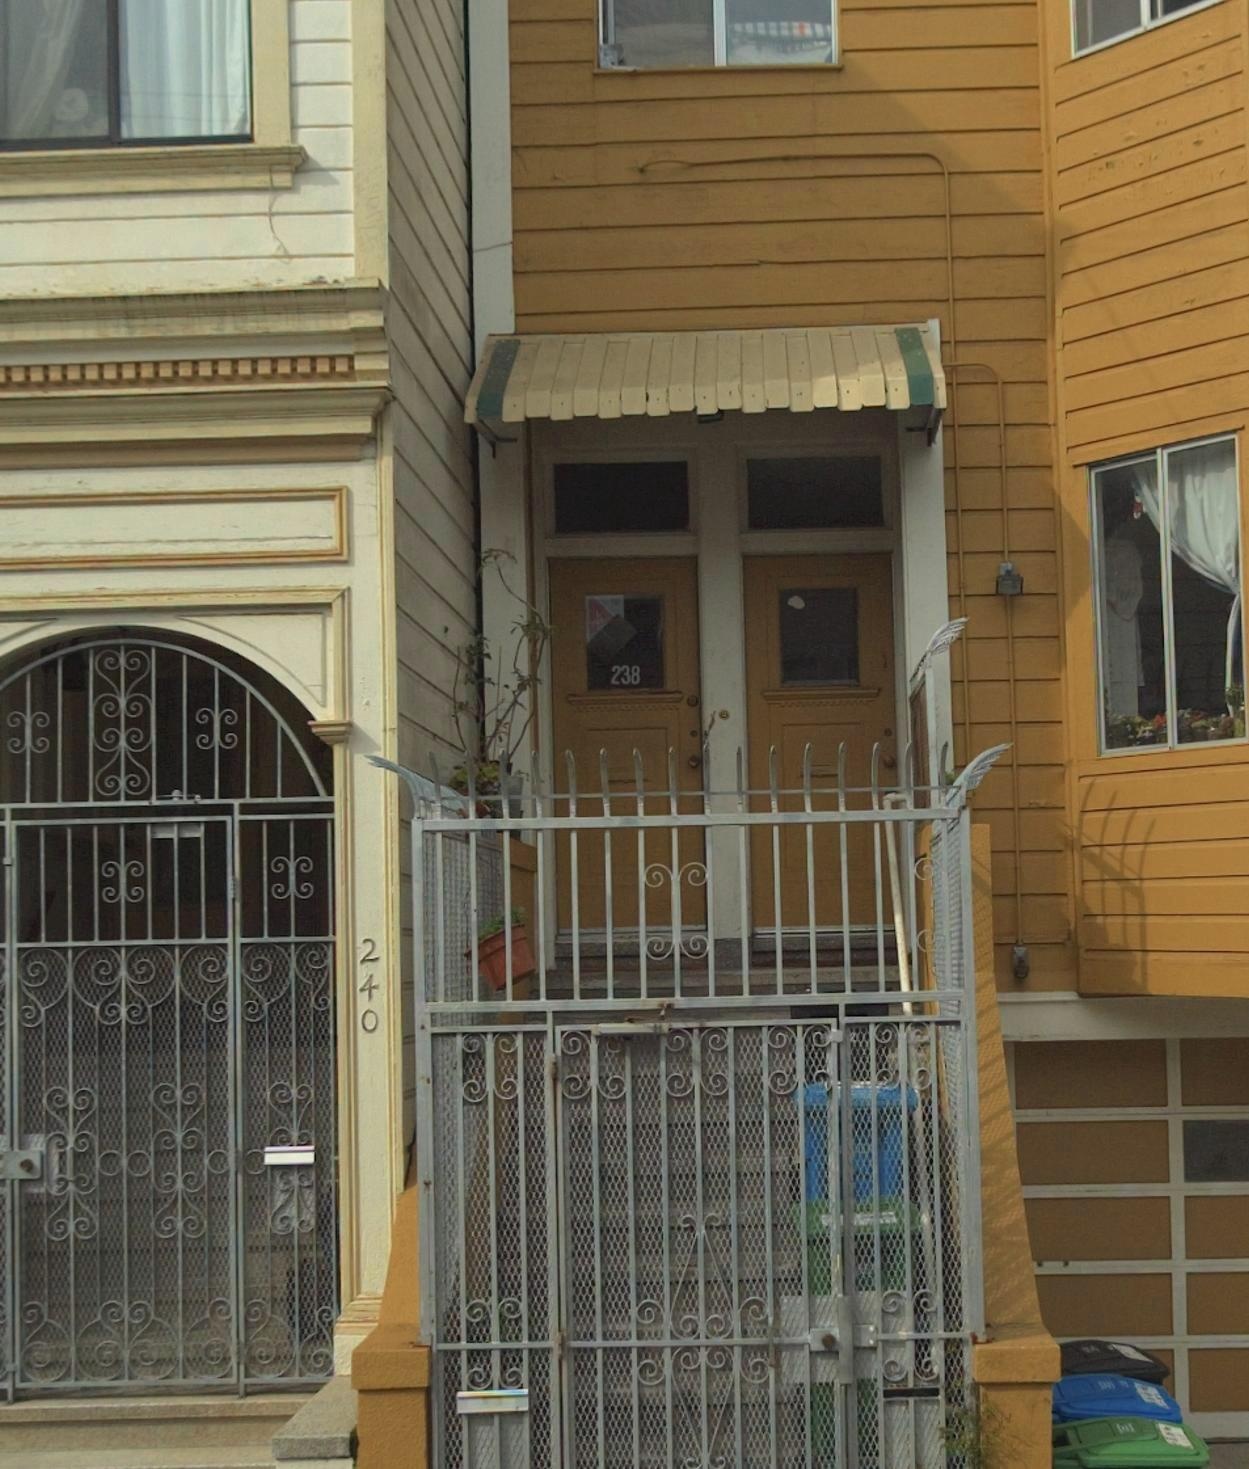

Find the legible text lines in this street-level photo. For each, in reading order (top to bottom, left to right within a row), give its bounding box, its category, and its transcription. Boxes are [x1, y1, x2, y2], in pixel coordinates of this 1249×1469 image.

[610, 664, 642, 686] StreetNumber: 238
[358, 936, 381, 1035] StreetNumber: 240